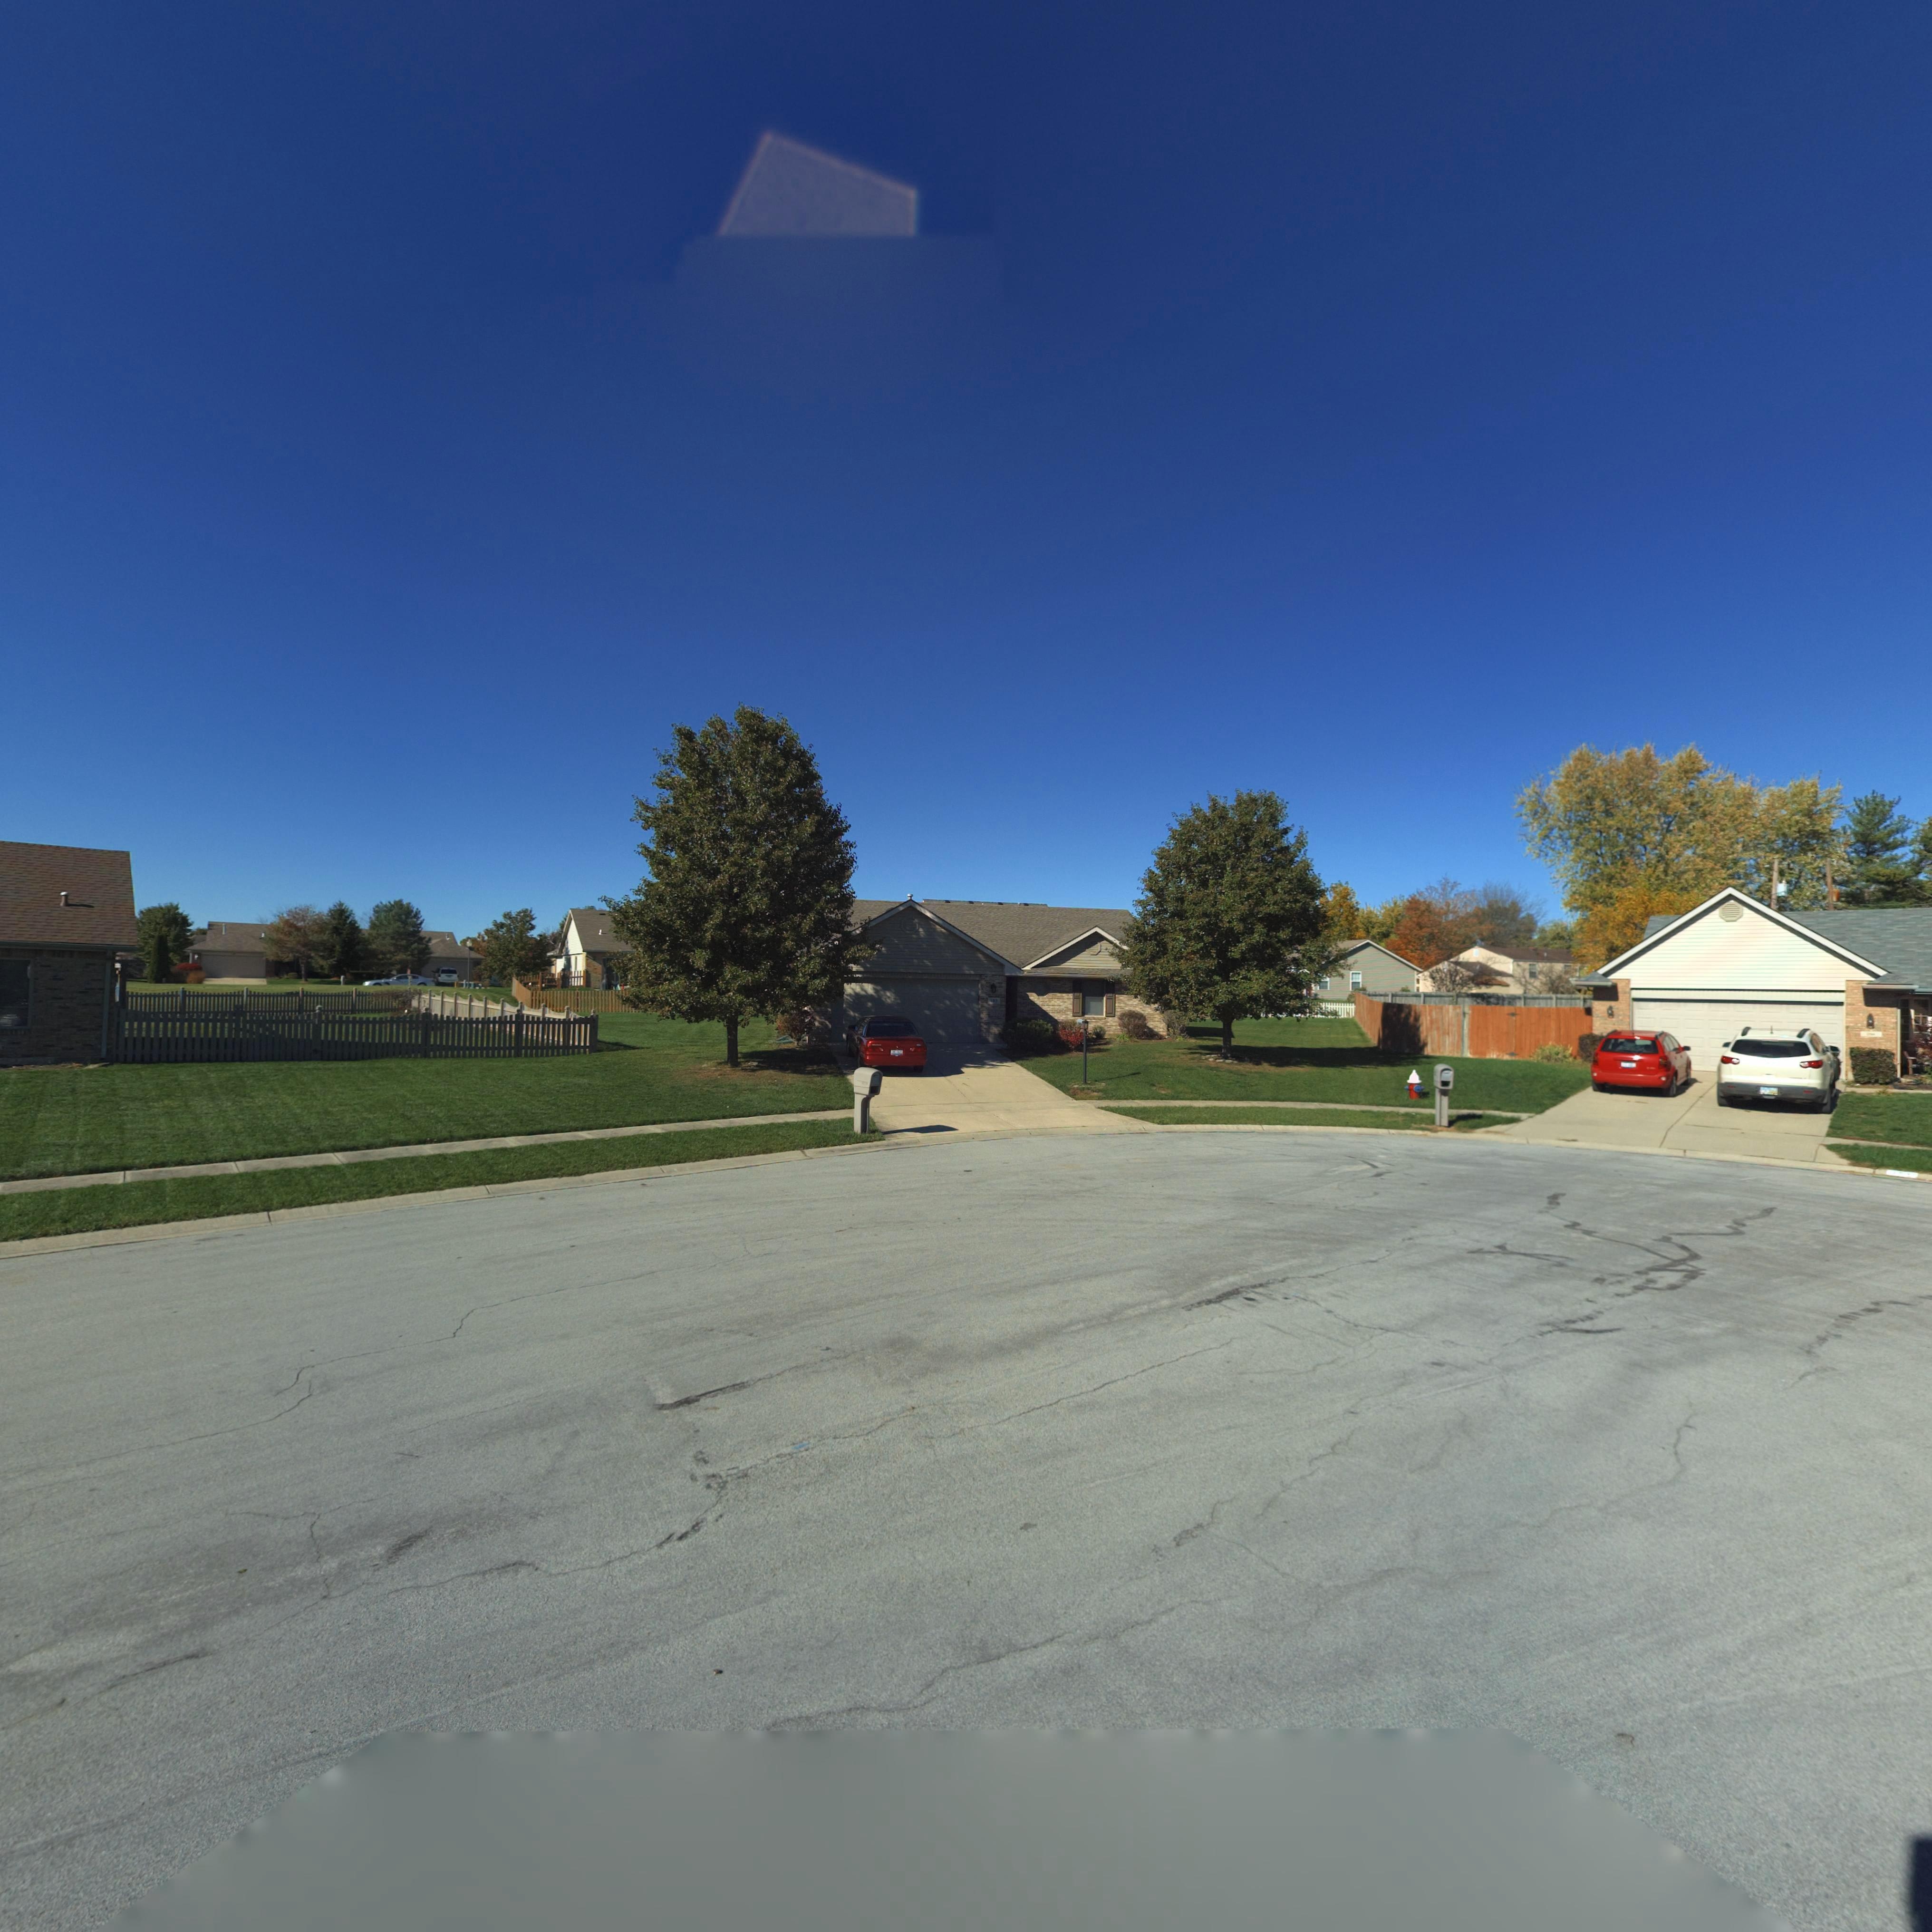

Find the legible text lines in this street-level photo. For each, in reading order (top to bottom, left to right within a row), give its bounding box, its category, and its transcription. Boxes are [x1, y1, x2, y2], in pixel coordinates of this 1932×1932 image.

[990, 998, 998, 1003] StreetNumber: 103